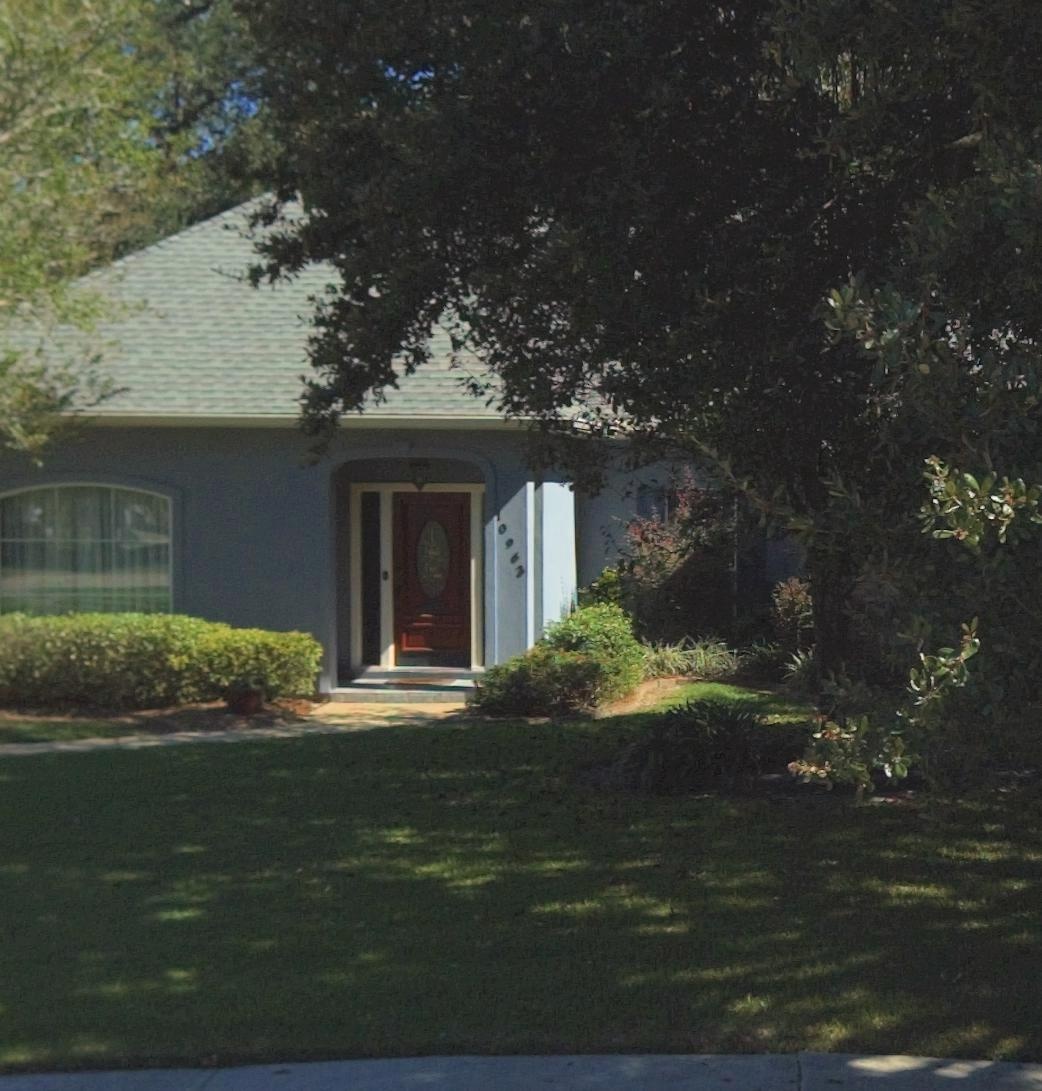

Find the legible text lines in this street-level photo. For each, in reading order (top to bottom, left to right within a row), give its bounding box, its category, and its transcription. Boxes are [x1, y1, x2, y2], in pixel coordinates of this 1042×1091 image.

[494, 507, 527, 581] StreetNumber: 10963